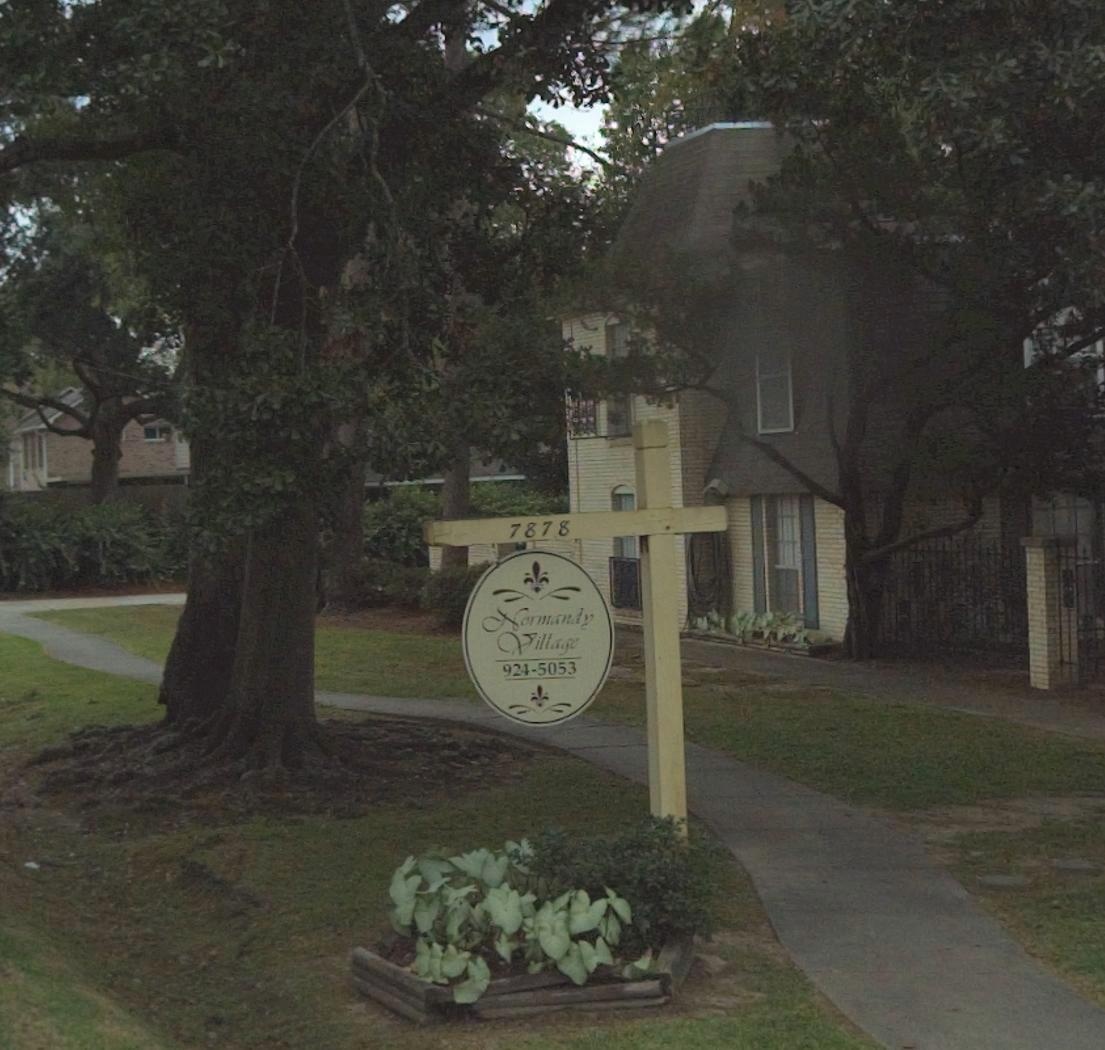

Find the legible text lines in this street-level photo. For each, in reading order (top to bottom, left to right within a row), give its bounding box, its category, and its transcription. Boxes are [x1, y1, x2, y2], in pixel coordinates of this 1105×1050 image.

[507, 520, 573, 538] StreetNumber: 7878
[480, 606, 593, 631] BusinessName: Normandy
[494, 629, 581, 656] BusinessName: Village
[501, 661, 577, 677] None: 924-5053